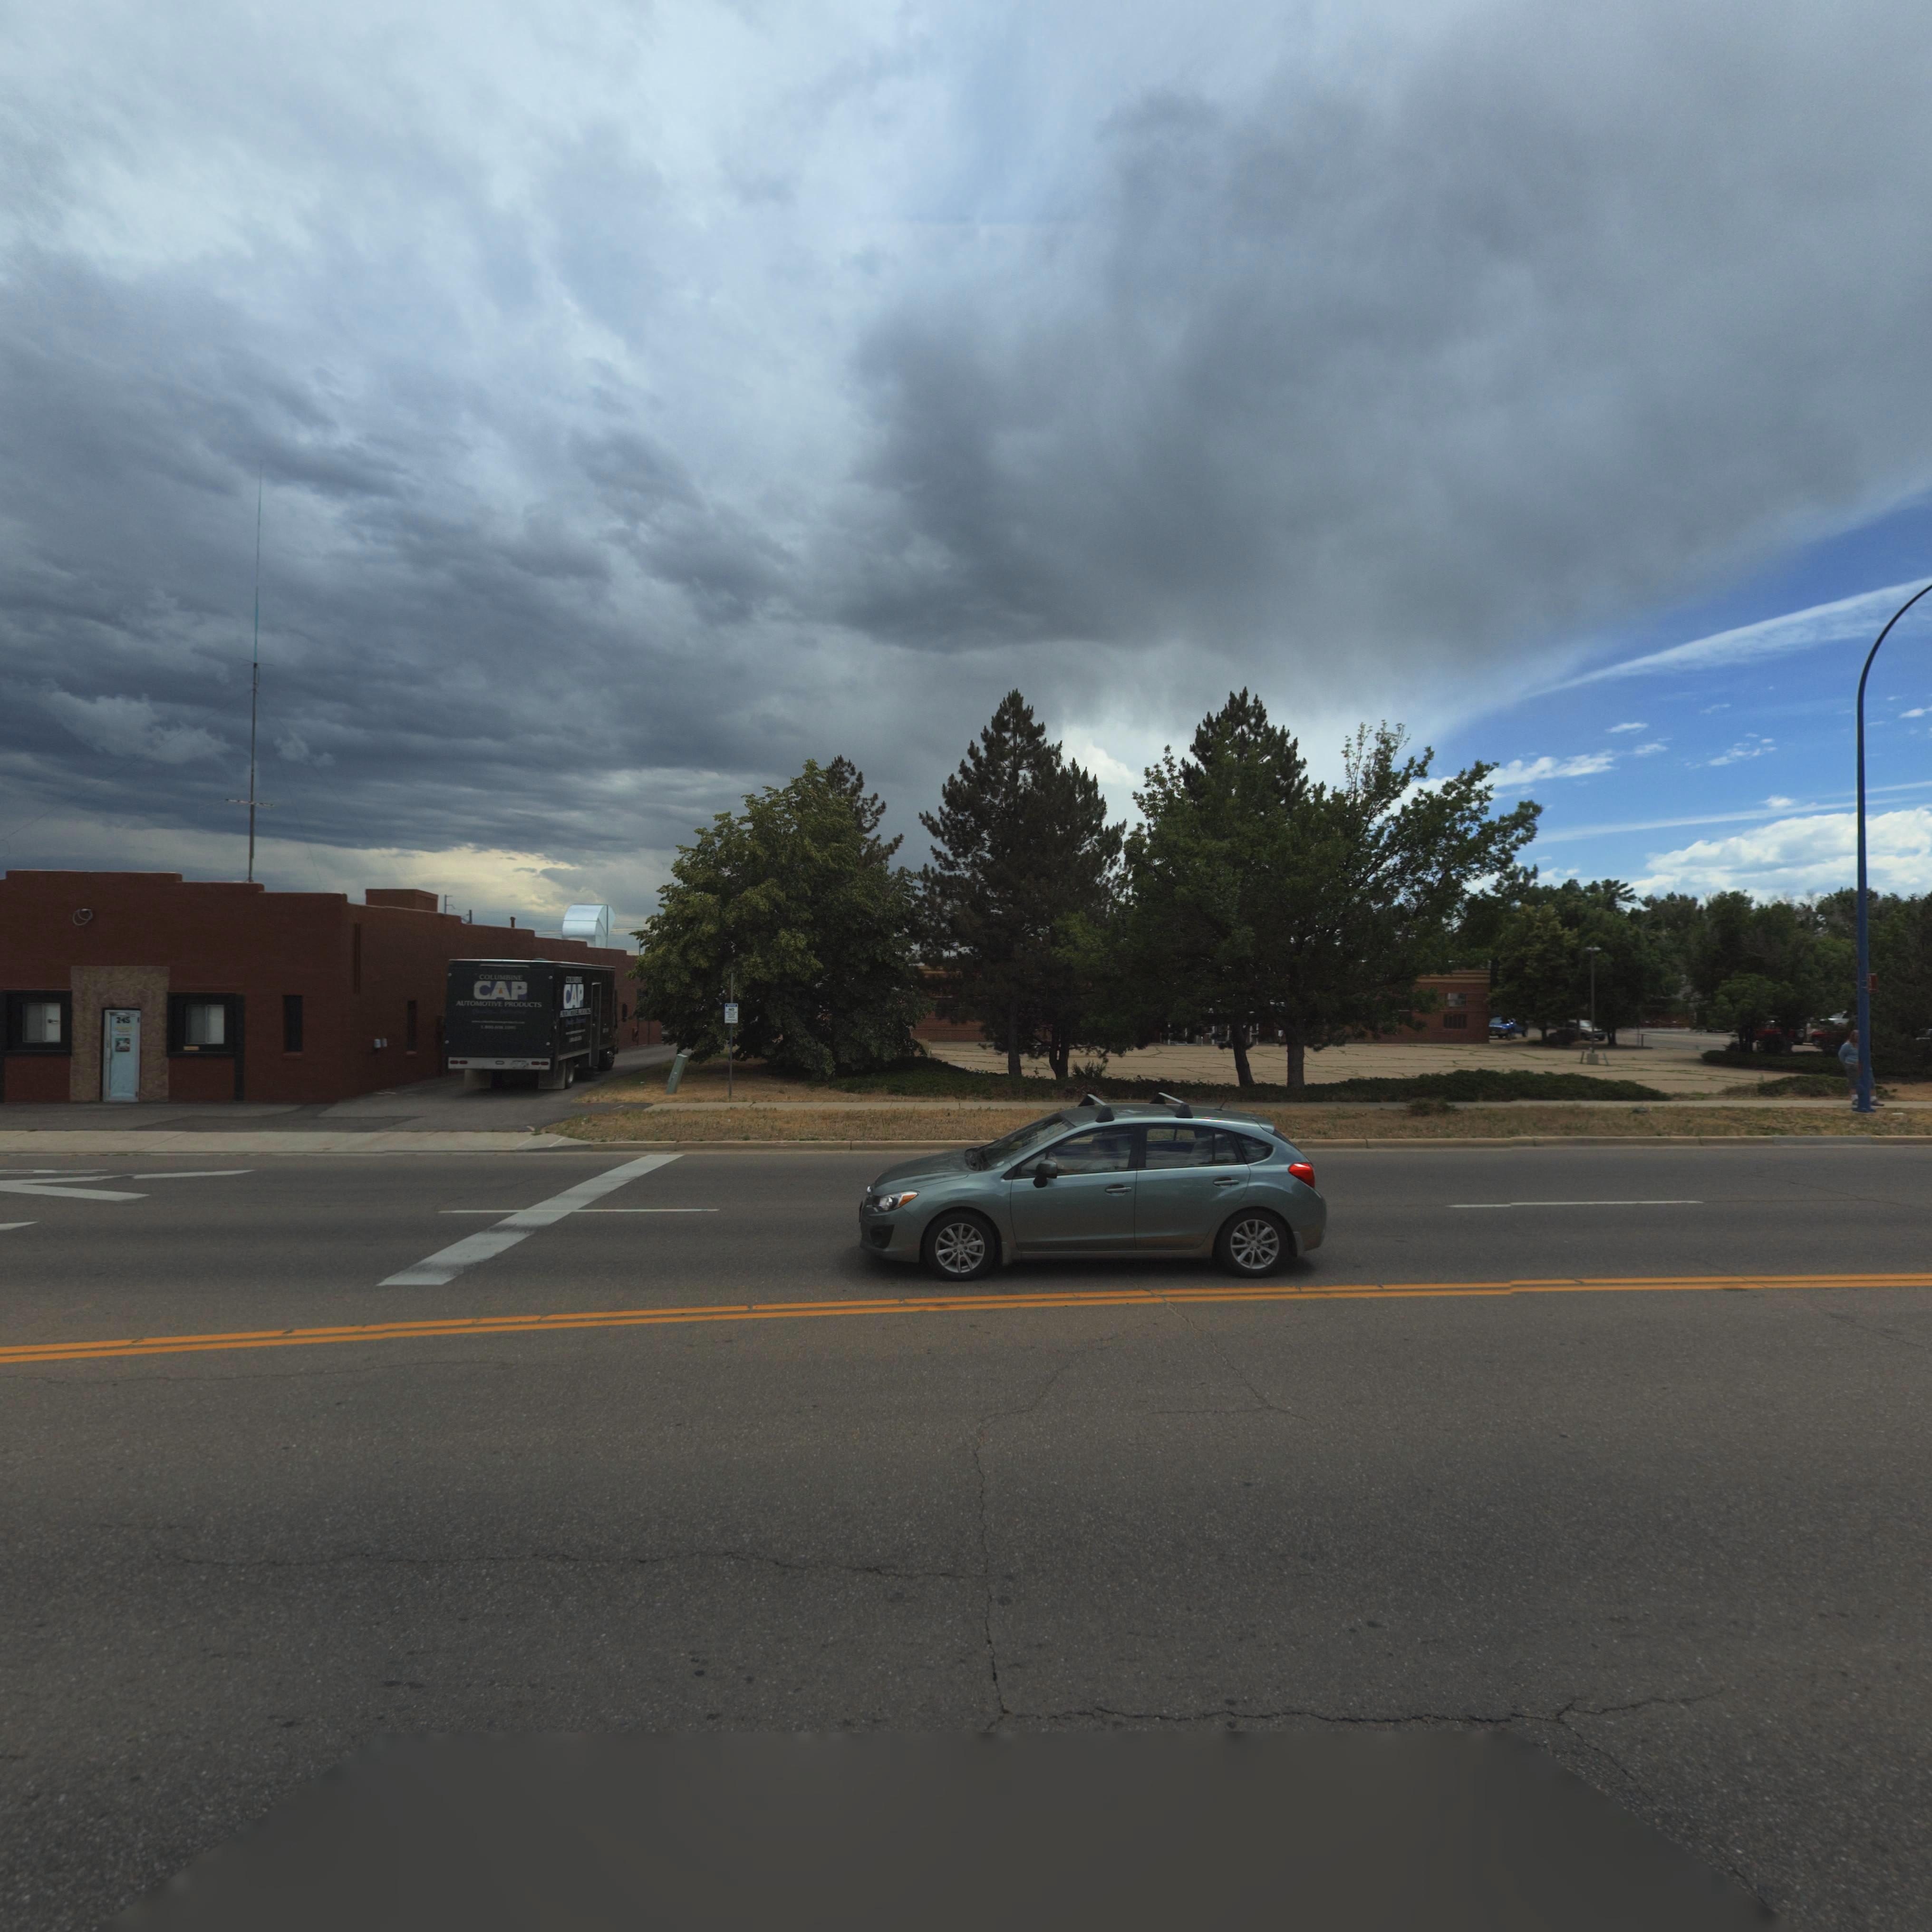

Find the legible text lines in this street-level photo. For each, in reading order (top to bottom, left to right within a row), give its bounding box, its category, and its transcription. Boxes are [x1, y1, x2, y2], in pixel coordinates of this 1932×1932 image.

[116, 1016, 130, 1024] StreetNumber: 245